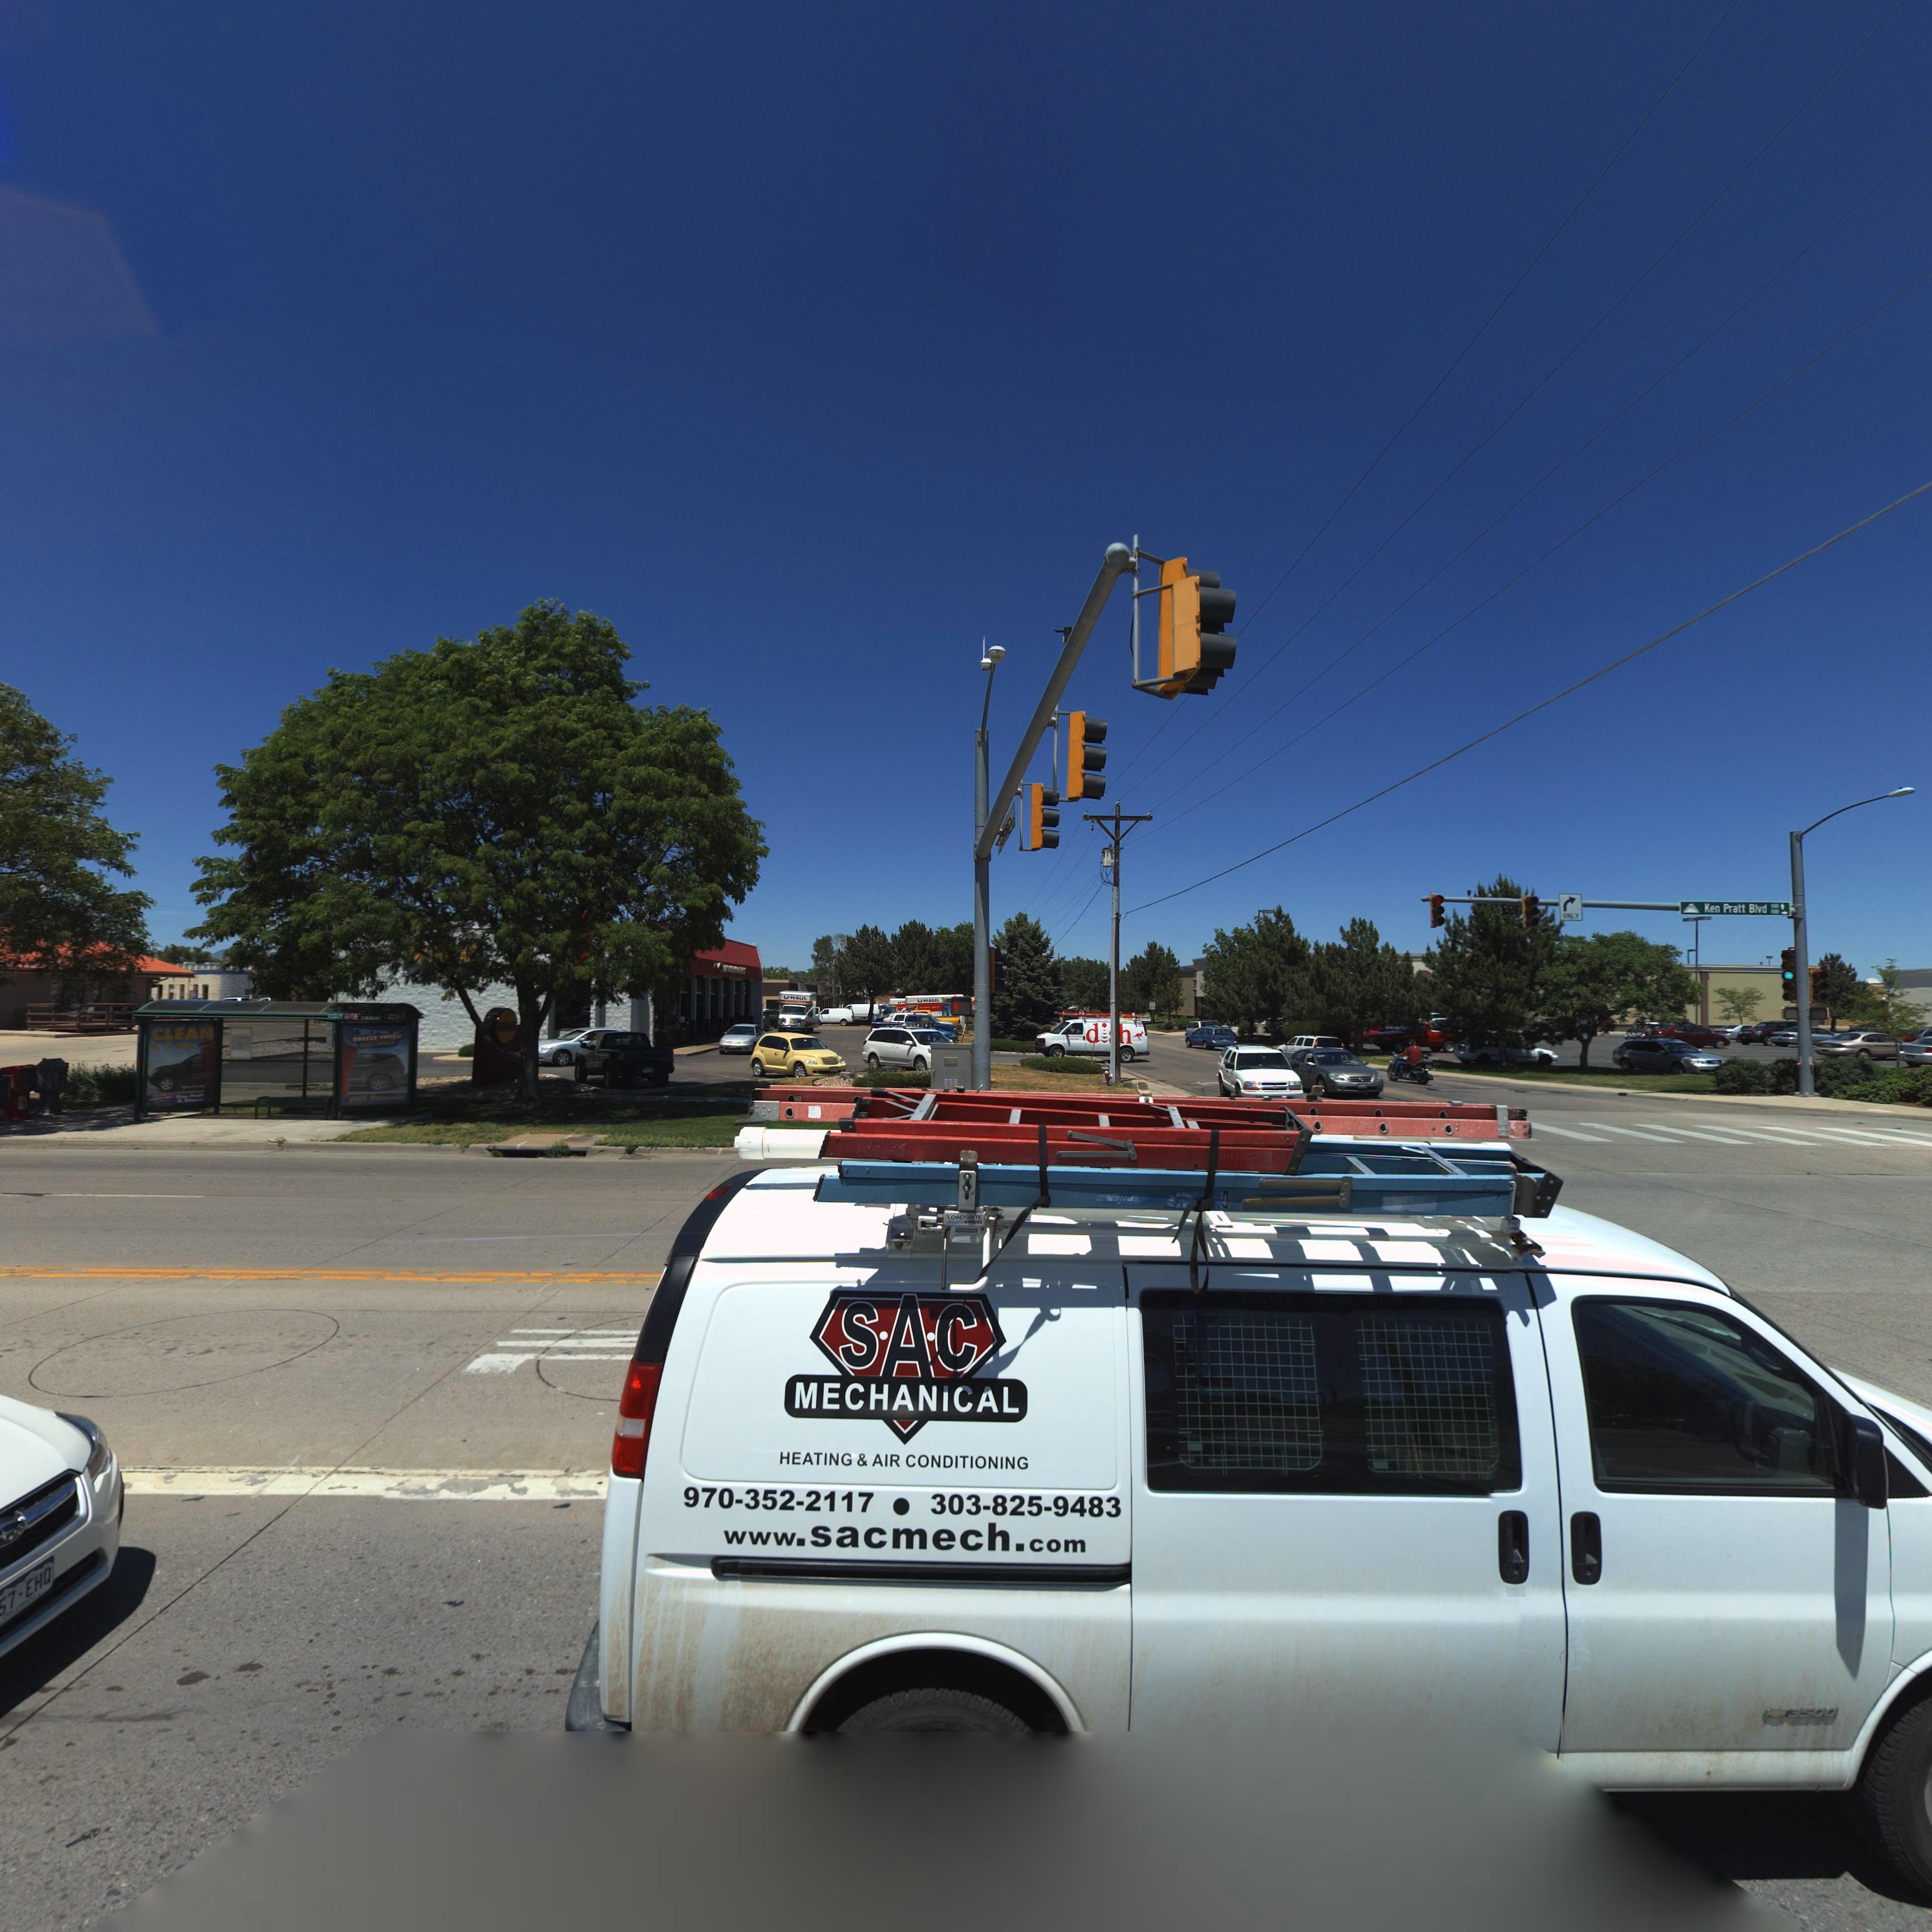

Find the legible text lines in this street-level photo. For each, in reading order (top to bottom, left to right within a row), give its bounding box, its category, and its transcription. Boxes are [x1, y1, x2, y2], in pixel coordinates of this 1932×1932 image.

[1704, 903, 1767, 913] StreetName: Ken Pratt Blvd
[1770, 903, 1779, 908] StreetNumberRange: 500